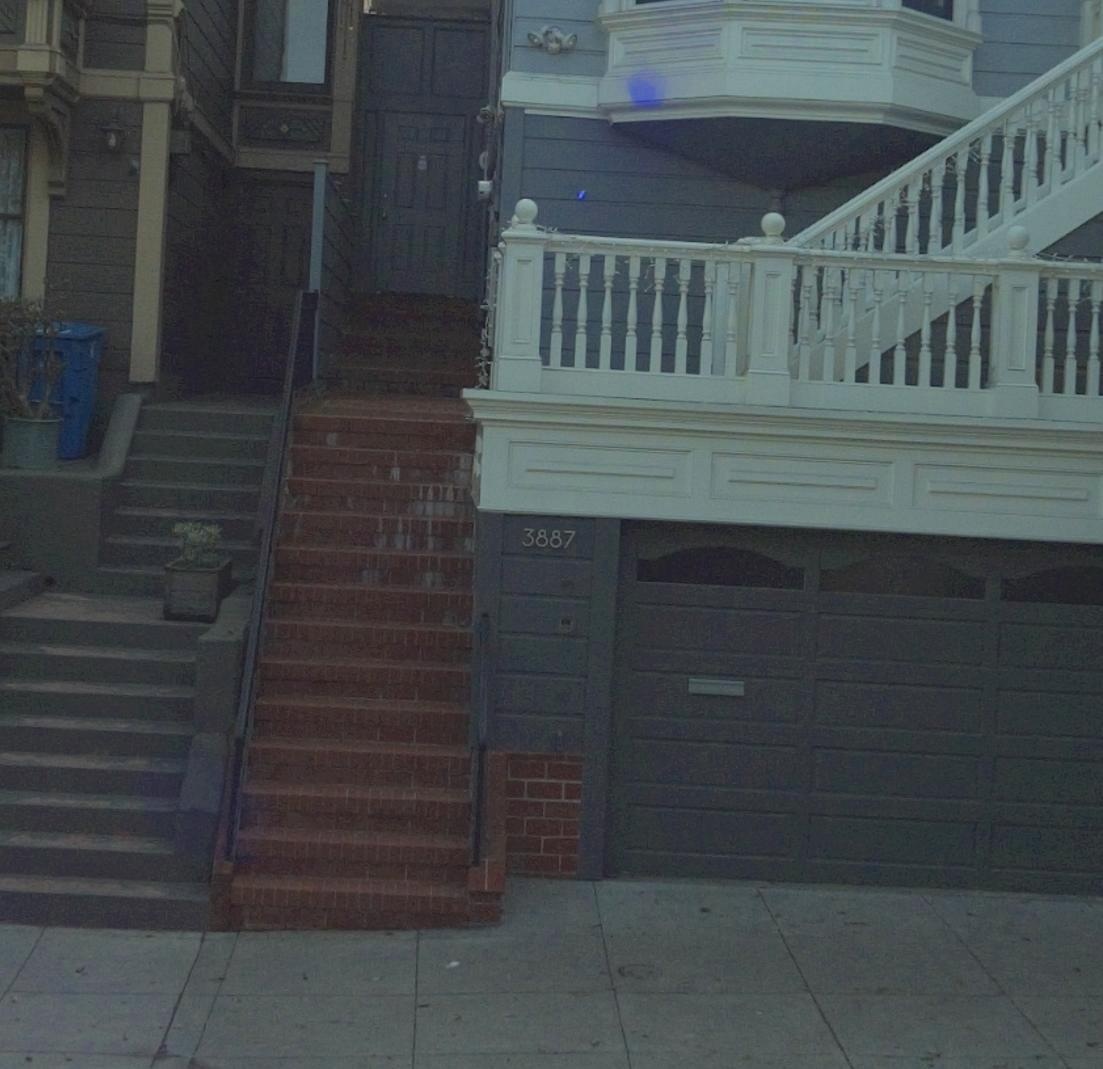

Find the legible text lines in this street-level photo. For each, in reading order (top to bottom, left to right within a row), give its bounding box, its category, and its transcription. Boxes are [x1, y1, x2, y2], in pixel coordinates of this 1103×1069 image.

[520, 527, 577, 550] StreetNumber: 3887